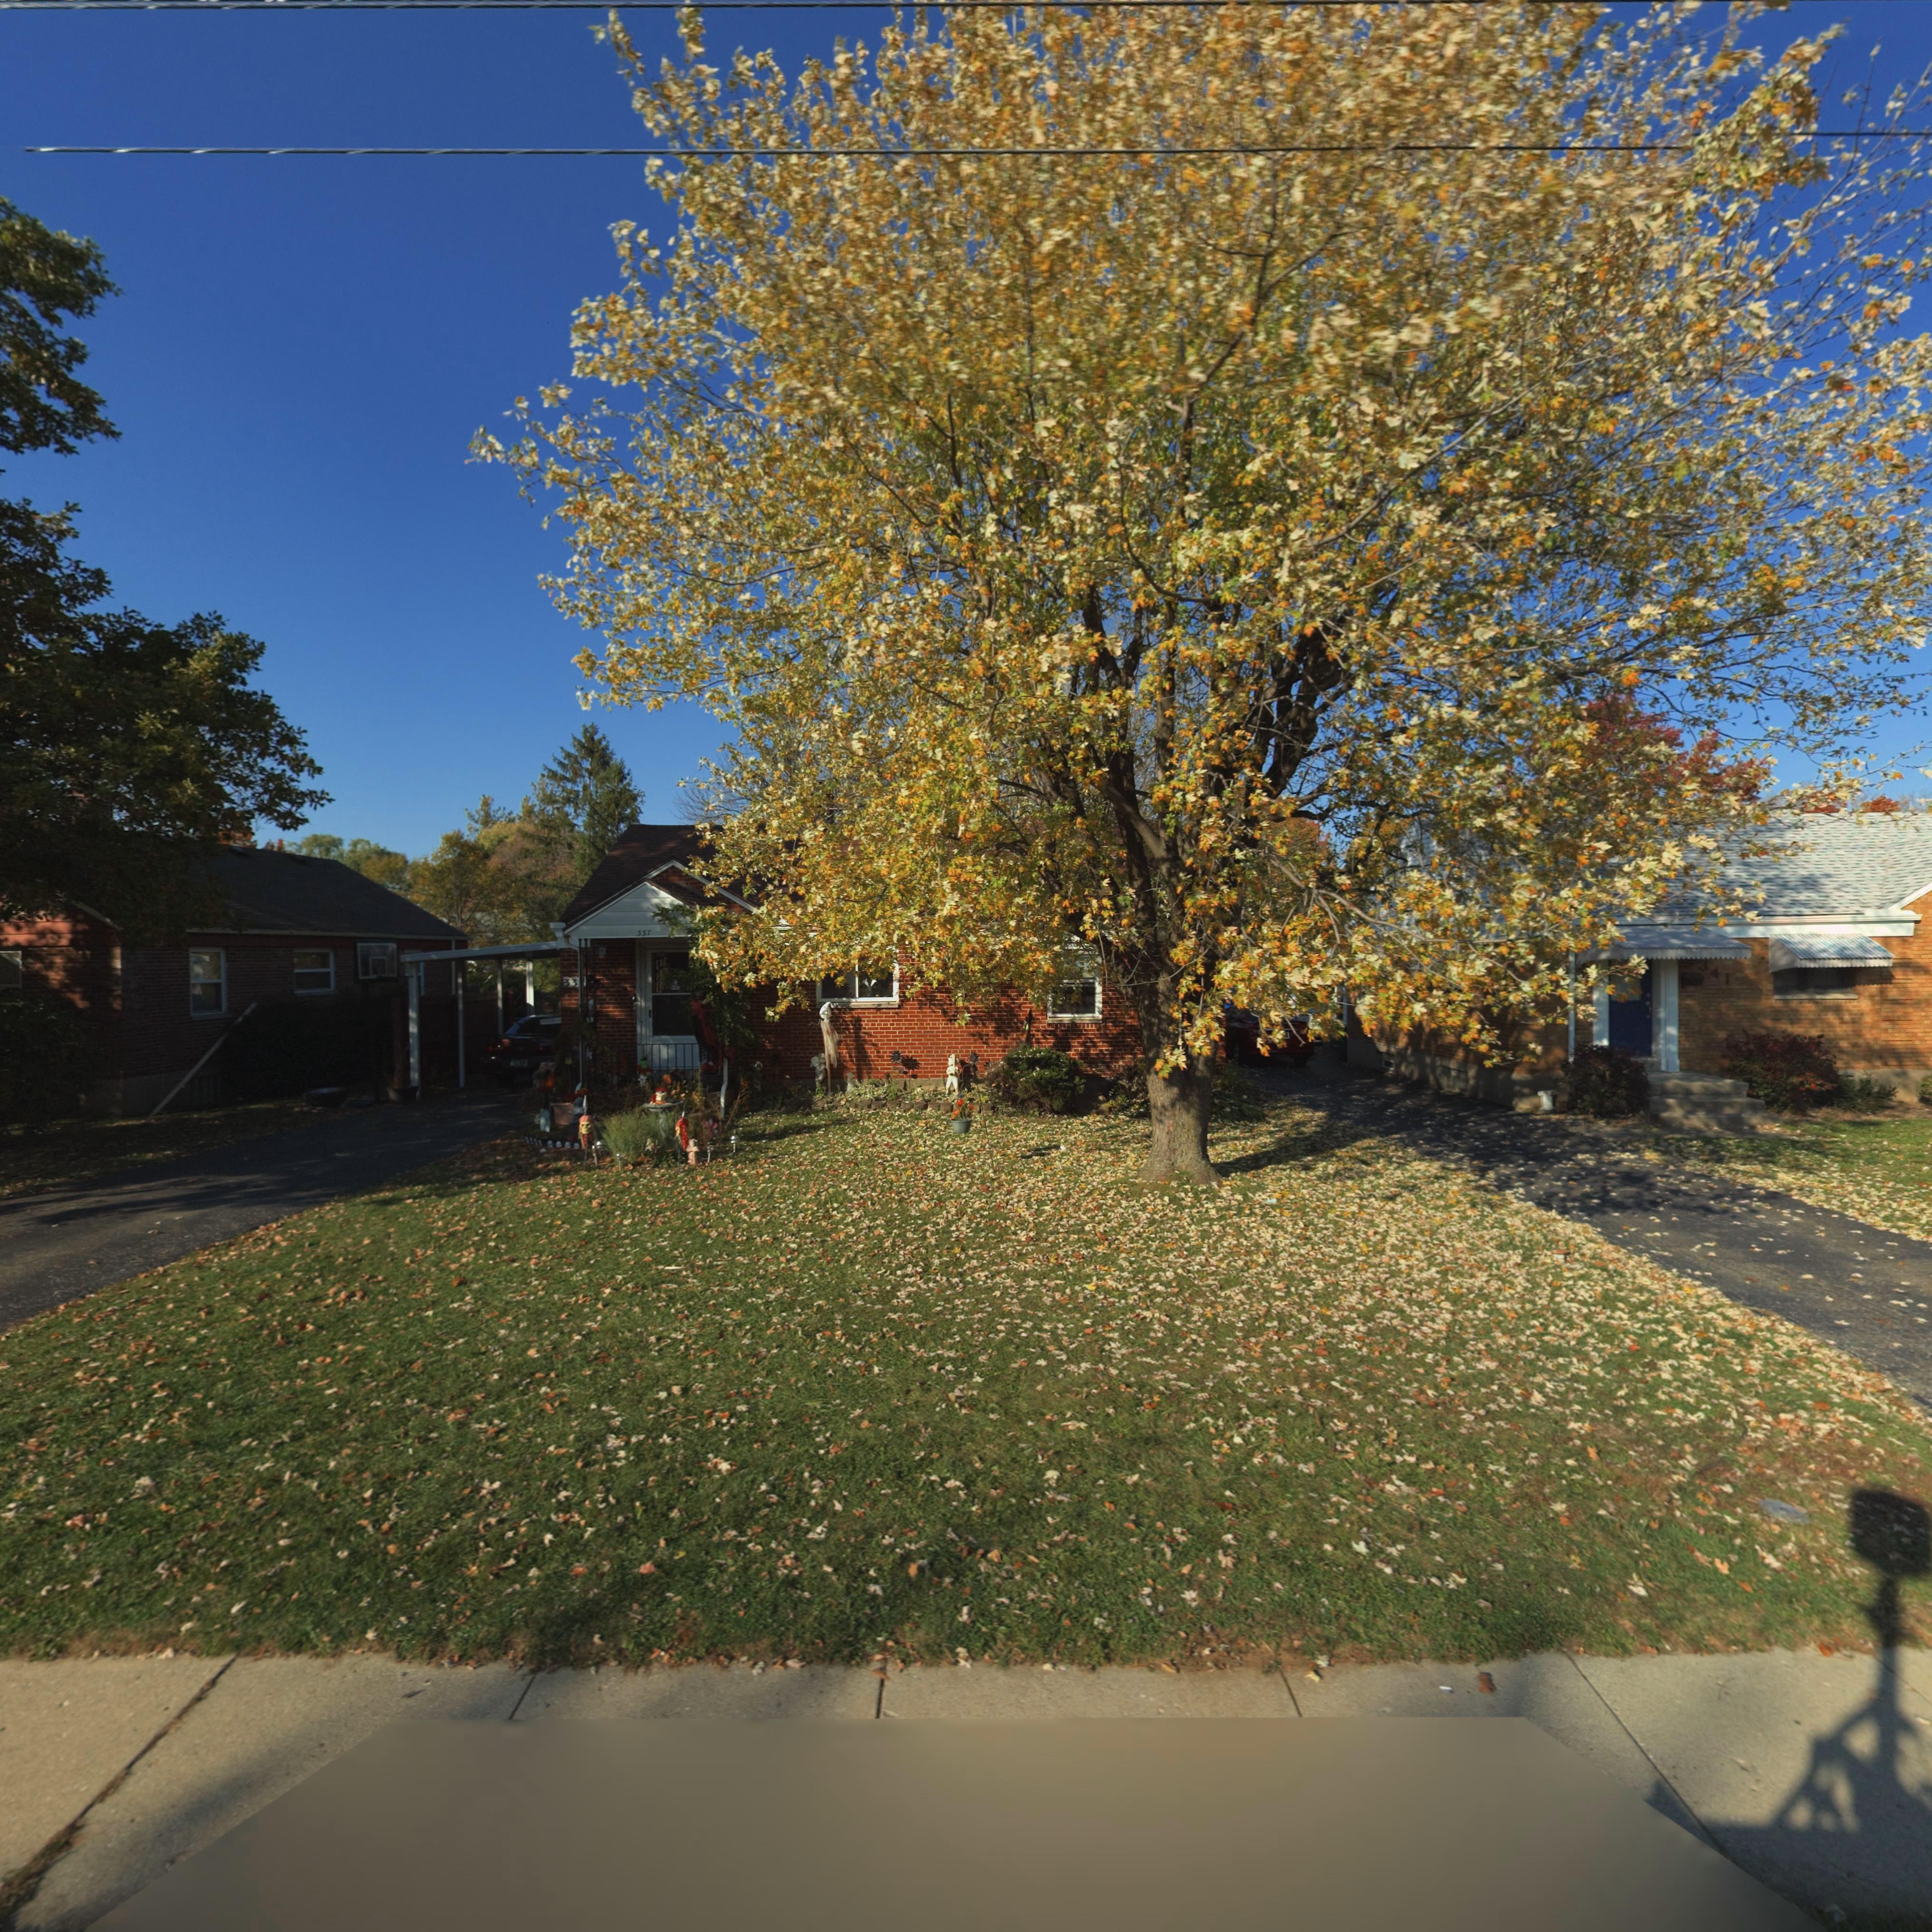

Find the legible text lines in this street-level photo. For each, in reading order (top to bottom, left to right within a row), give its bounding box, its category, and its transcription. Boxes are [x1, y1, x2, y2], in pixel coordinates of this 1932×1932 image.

[636, 929, 652, 937] StreetNumber: 337
[1696, 956, 1732, 987] StreetNumber: 341
[563, 978, 579, 988] StreetNumber: 33